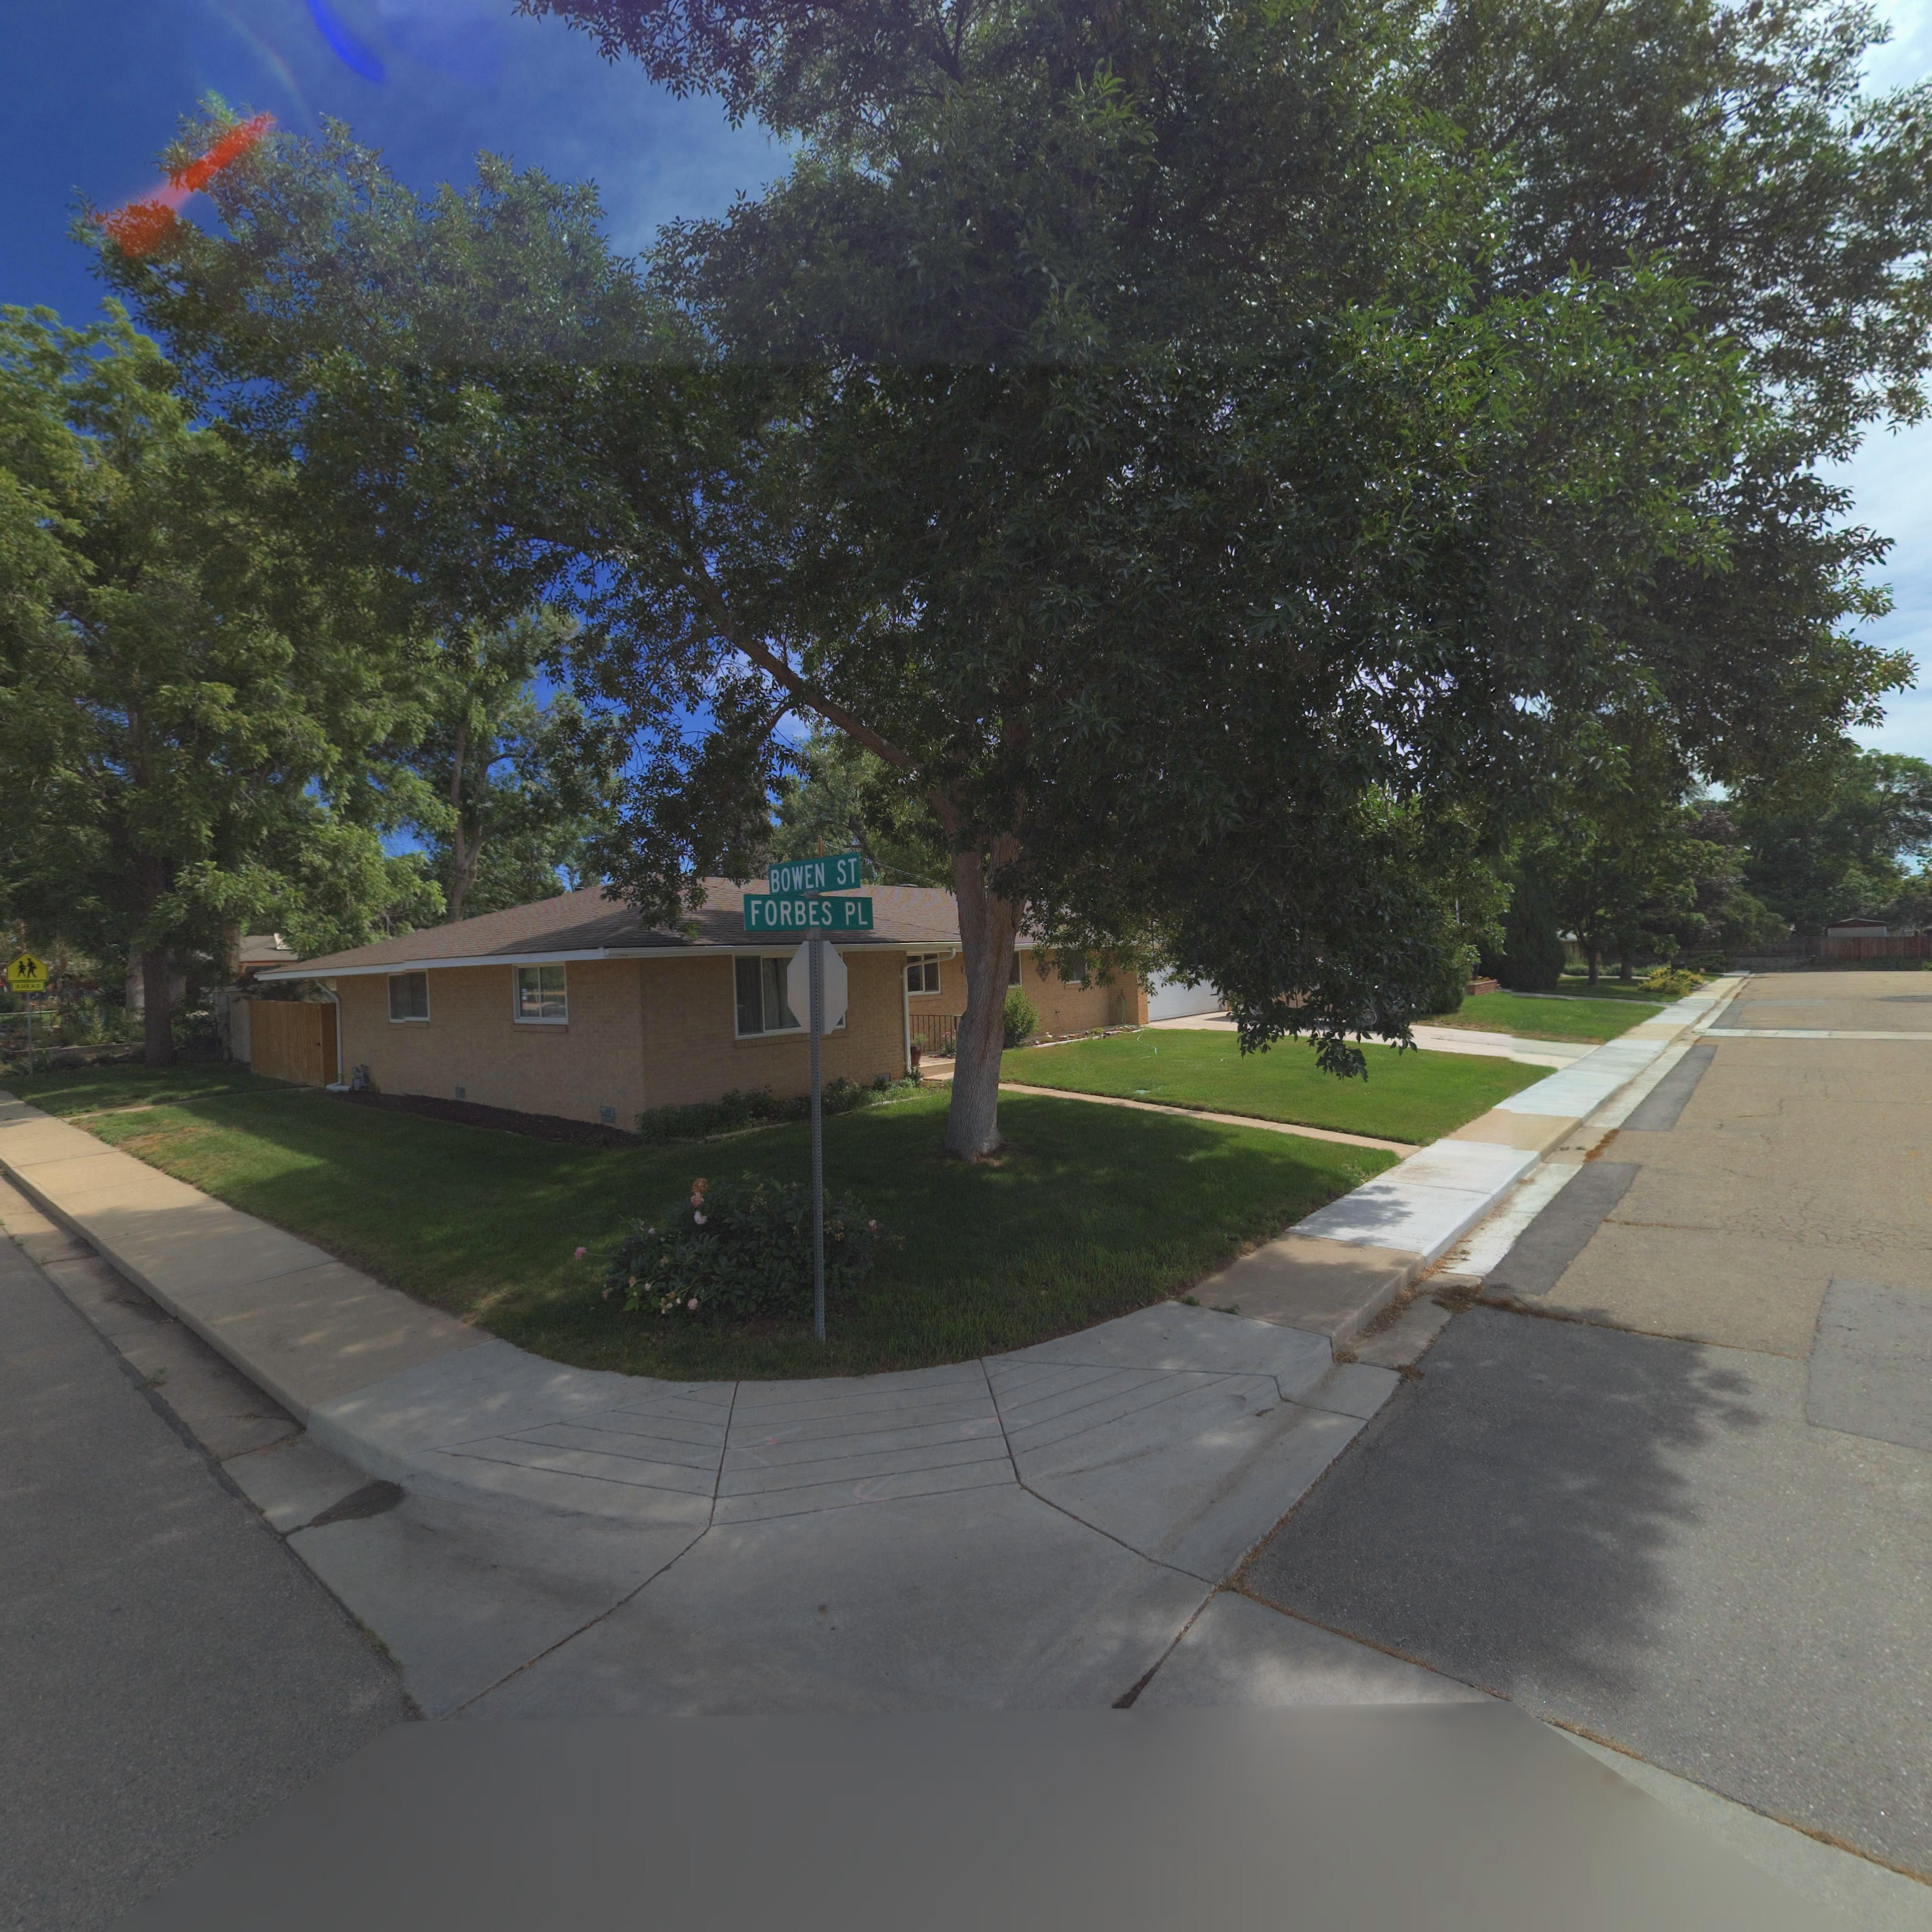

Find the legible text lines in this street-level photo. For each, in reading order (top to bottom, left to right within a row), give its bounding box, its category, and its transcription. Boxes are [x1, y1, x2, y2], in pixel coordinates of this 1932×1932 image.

[770, 857, 857, 894] StreetName: BOWEN ST
[750, 898, 868, 927] StreetName: FORBES PL